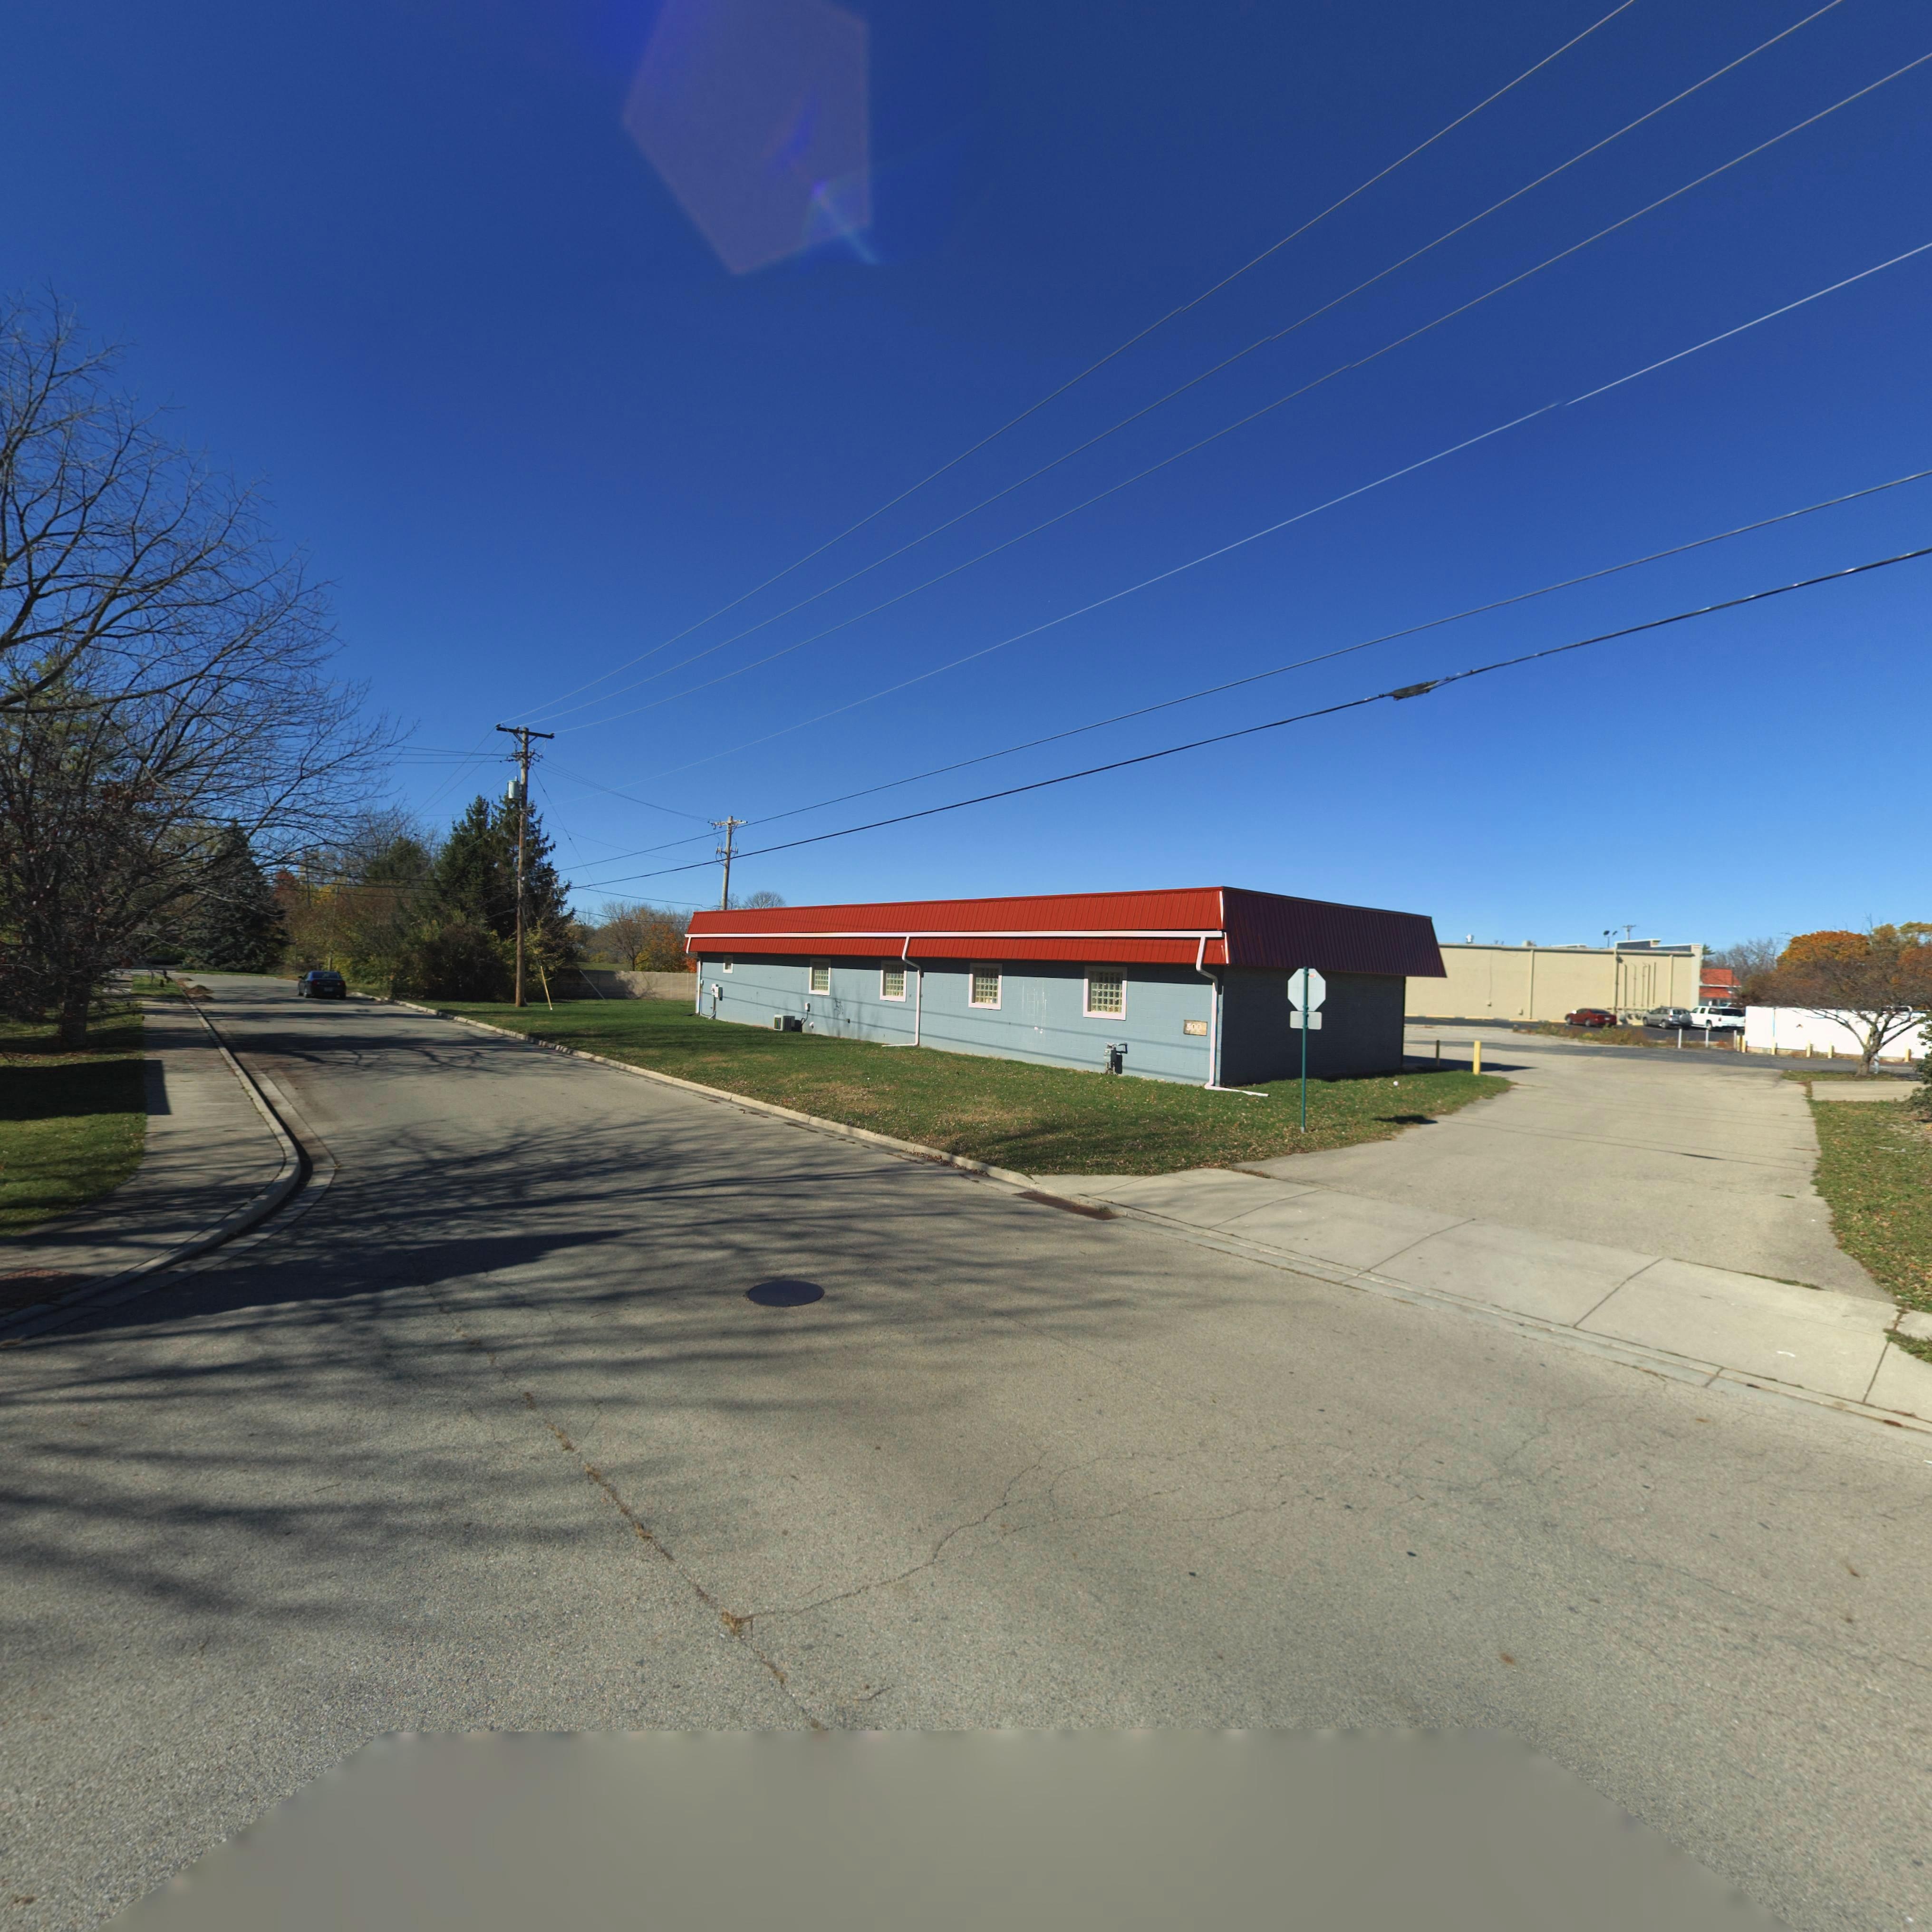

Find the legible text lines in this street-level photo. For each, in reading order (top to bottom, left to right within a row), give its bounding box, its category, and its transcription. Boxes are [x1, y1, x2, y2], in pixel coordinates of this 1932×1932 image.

[1186, 1023, 1202, 1031] StreetNumber: 500